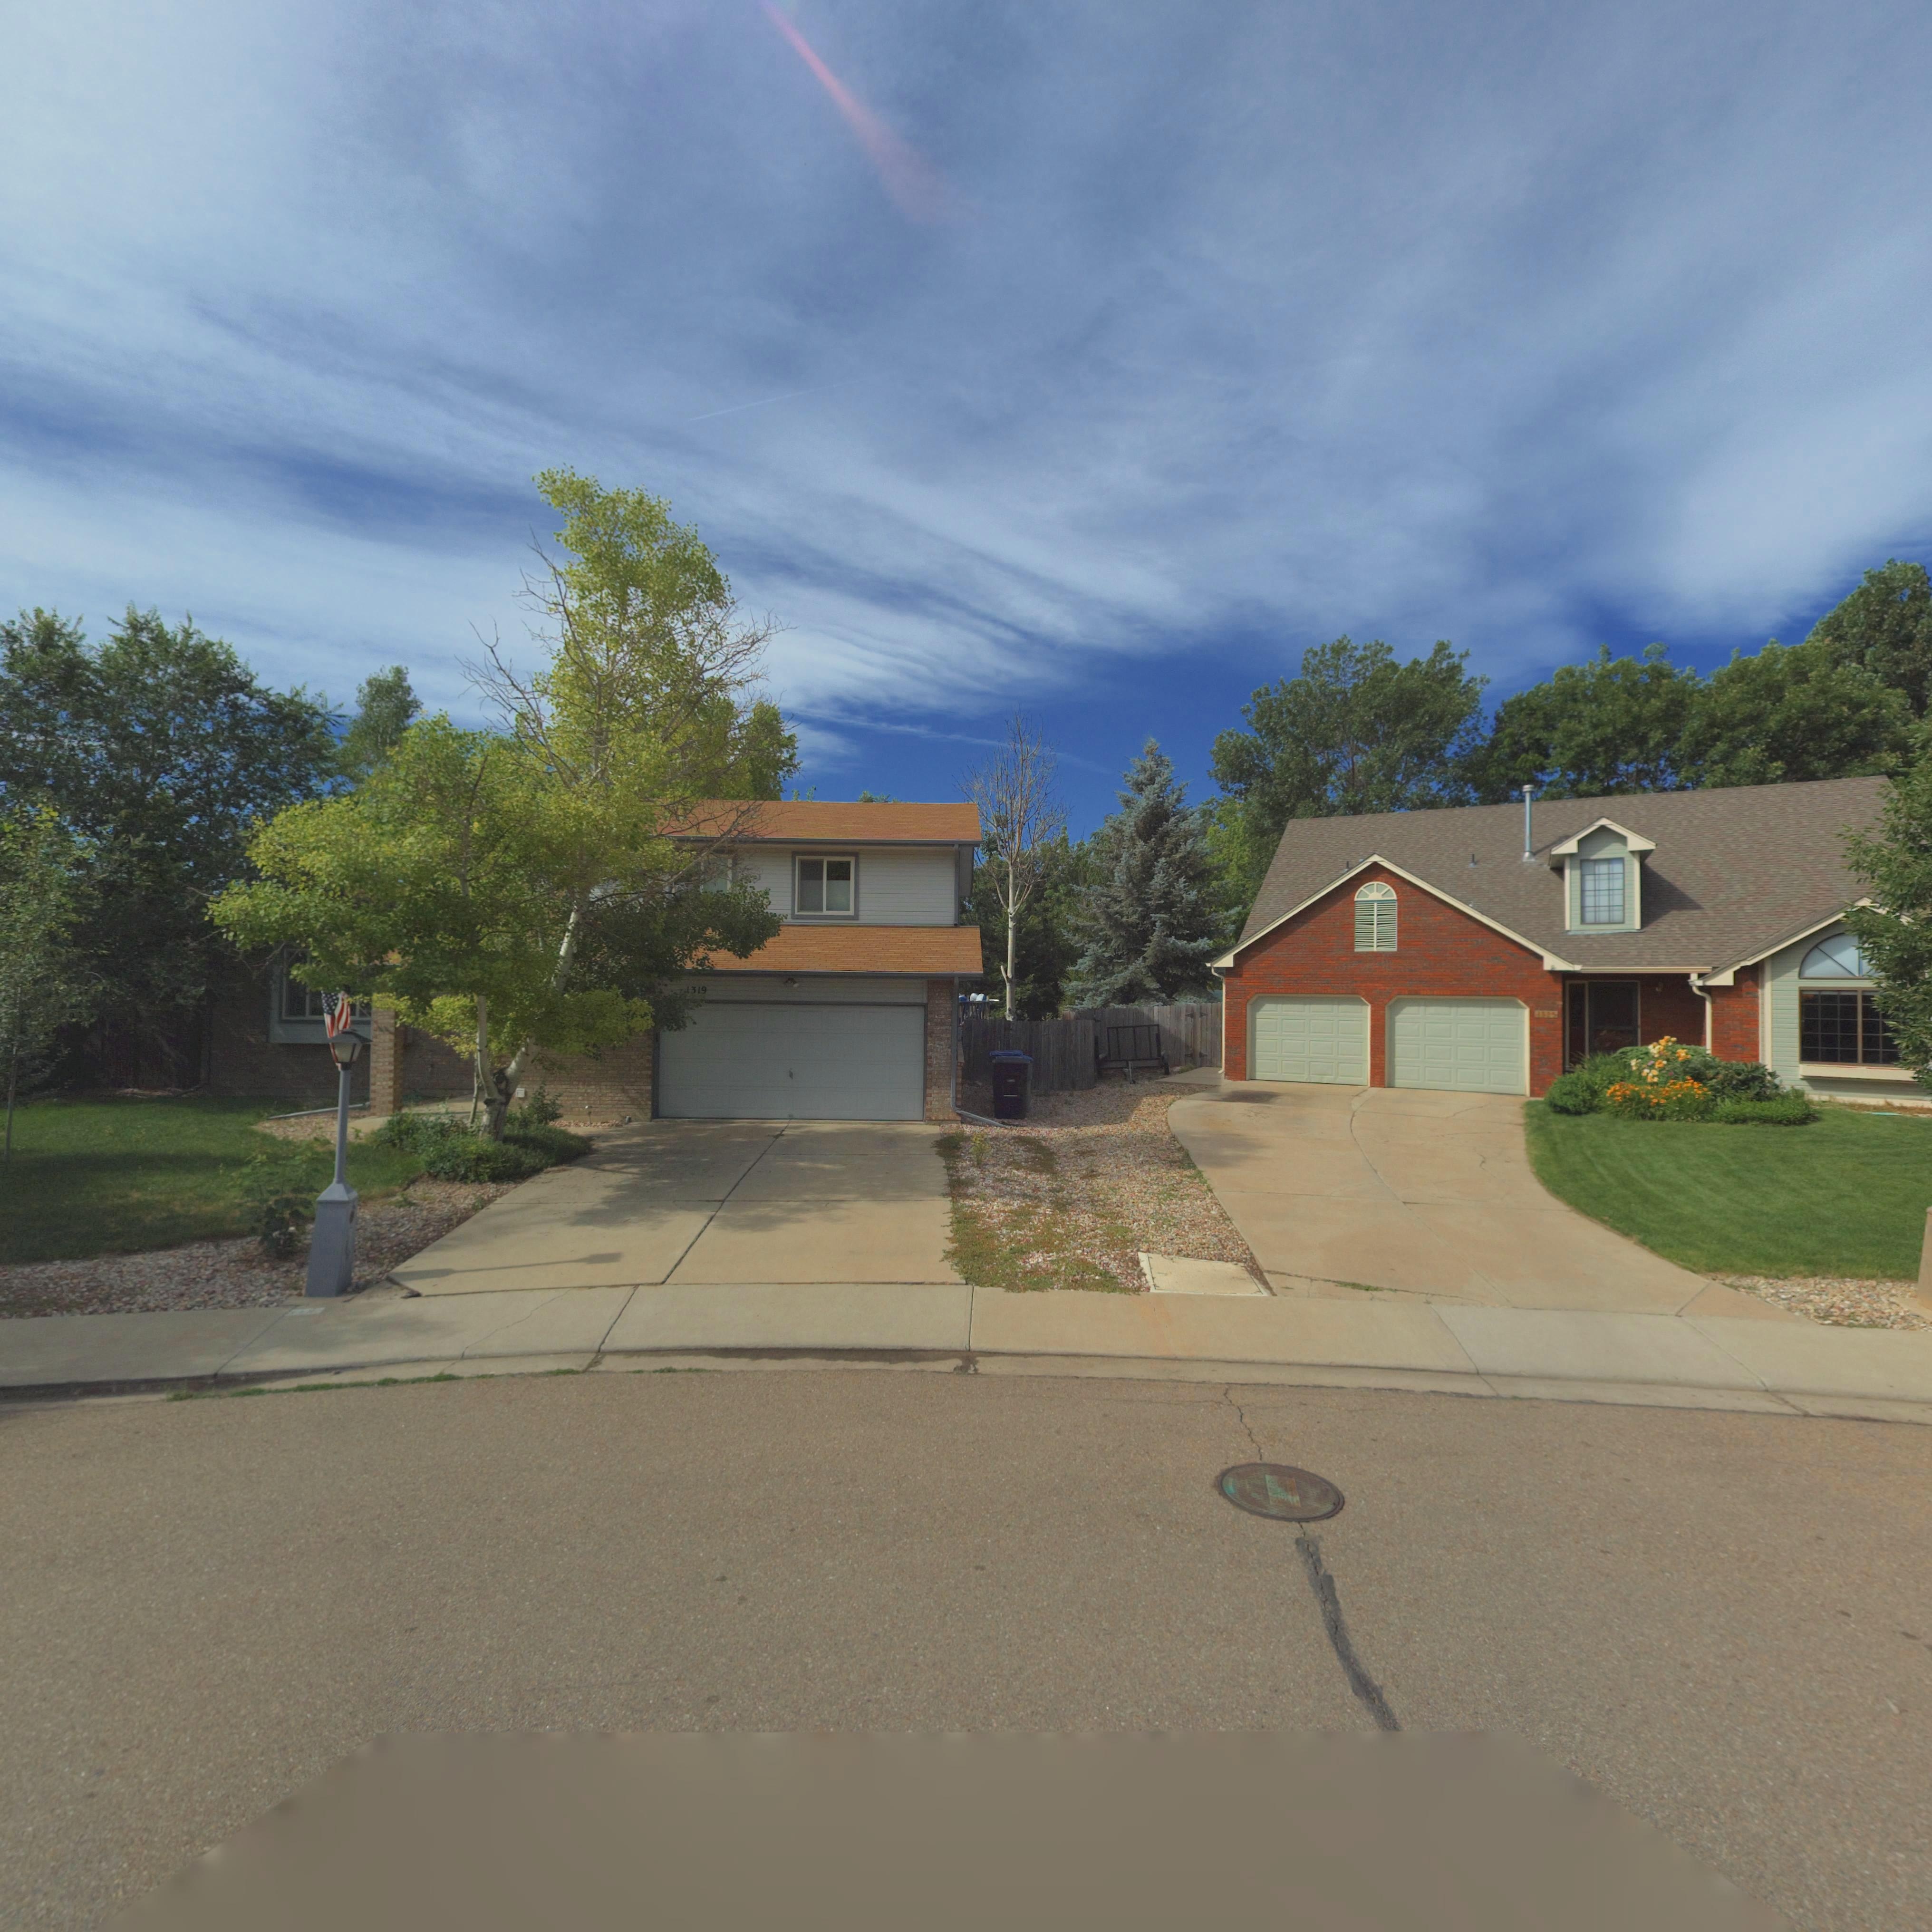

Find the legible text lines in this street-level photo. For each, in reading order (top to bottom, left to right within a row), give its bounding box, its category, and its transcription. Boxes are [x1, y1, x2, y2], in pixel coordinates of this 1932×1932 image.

[686, 985, 707, 994] StreetNumber: 1319
[1536, 1011, 1557, 1018] StreetNumber: 1325